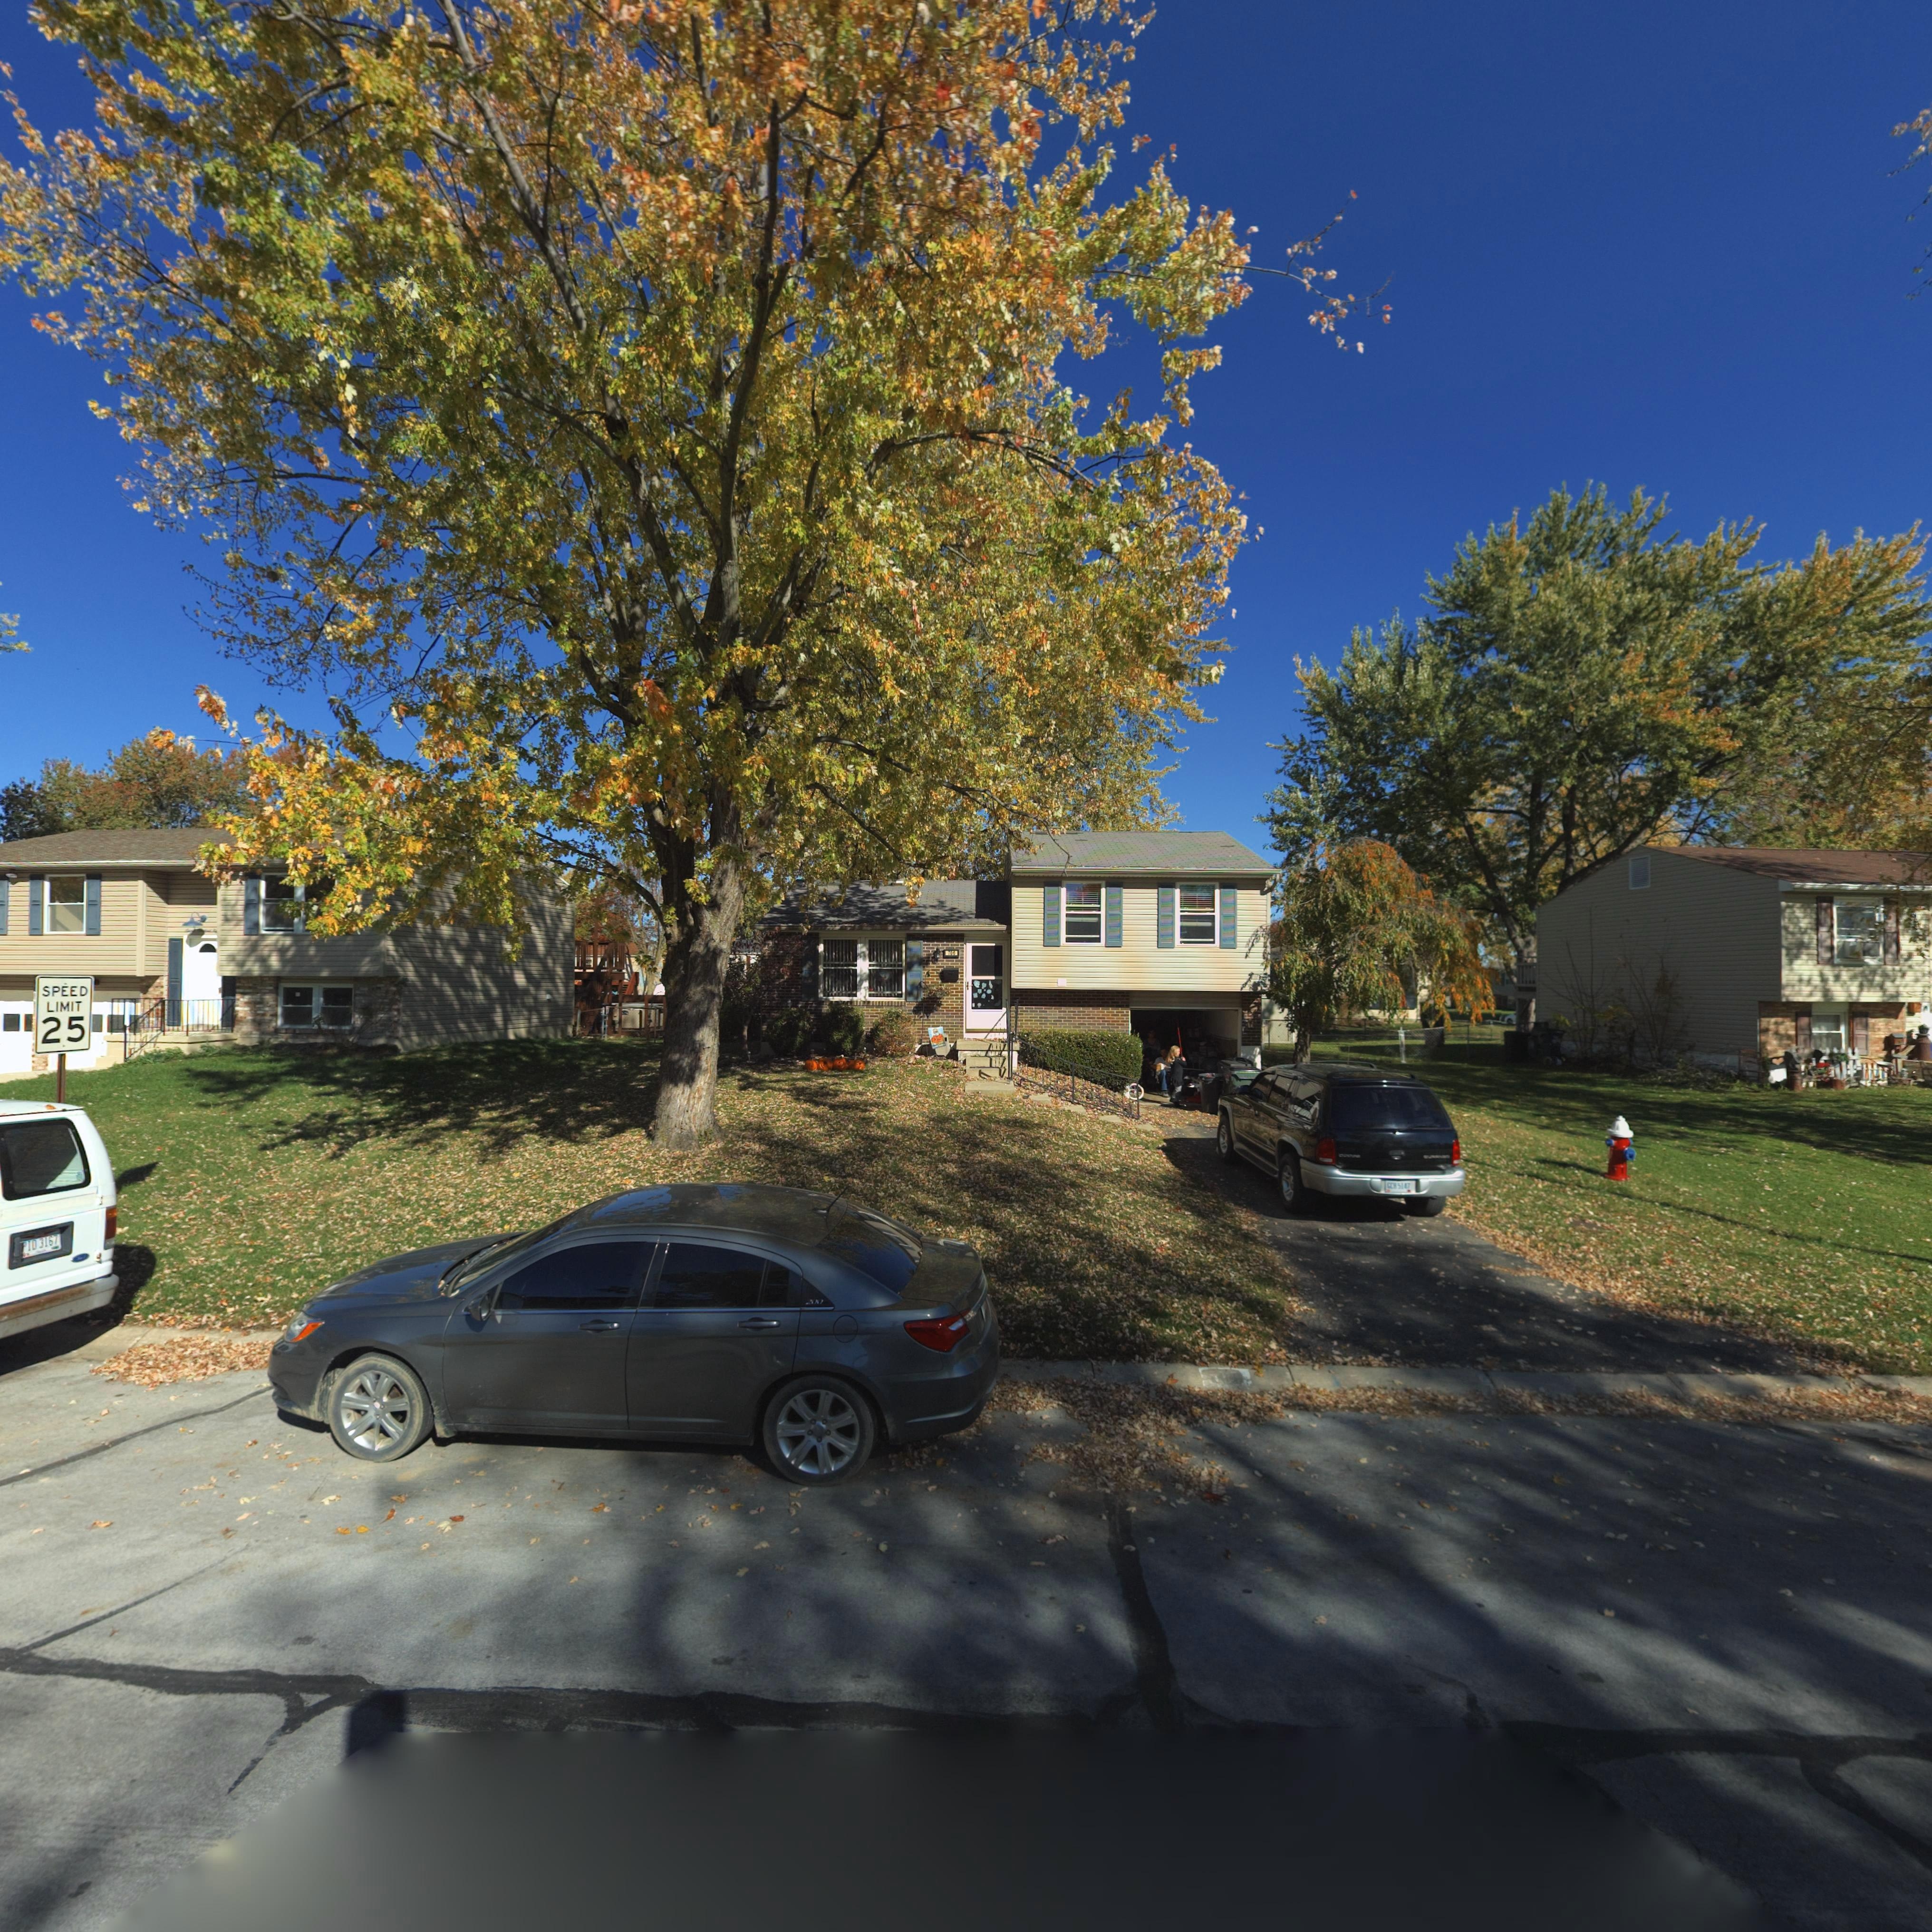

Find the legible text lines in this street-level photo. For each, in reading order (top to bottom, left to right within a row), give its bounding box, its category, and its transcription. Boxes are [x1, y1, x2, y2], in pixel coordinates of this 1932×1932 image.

[947, 950, 956, 956] StreetNumber: 705
[40, 985, 89, 999] None: SPEED
[44, 999, 86, 1013] None: LIMIT
[39, 1014, 87, 1047] None: 25
[1385, 1180, 1412, 1189] None: *** 5147
[19, 1232, 61, 1255] None: *** 3167